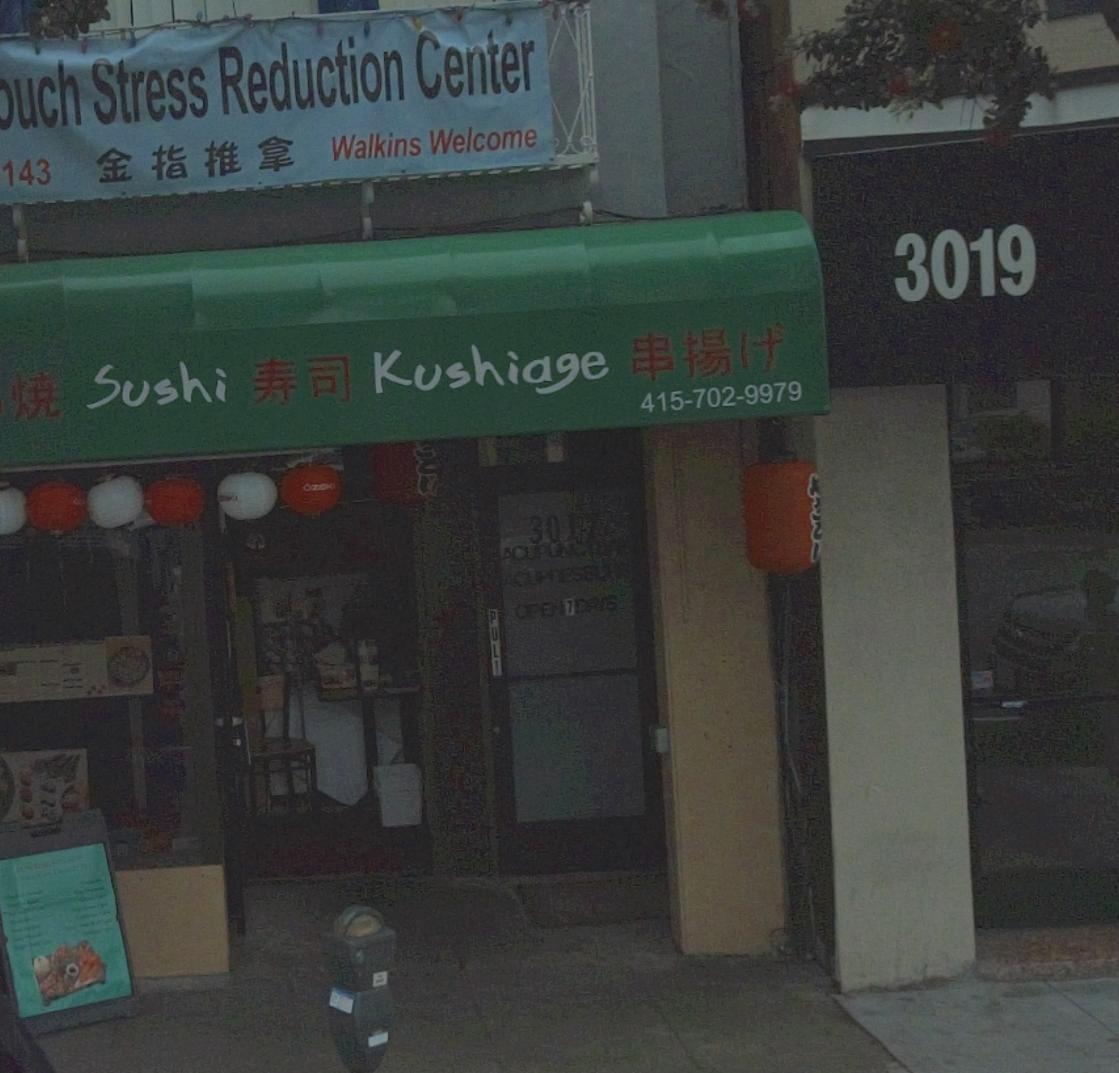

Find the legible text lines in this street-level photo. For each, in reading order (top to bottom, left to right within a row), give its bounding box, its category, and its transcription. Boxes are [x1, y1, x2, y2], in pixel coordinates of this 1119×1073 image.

[0, 27, 537, 134] BusinessName: *uch Stress Reduction Center
[329, 123, 540, 165] None: Walkins Welcome
[0, 156, 53, 190] None: 143
[892, 221, 1040, 306] StreetNumber: 3019
[84, 357, 229, 412] None: Sushi
[371, 342, 615, 398] None: Kushiage
[639, 379, 805, 415] None: 415-702-9979
[301, 482, 320, 493] None: oz
[526, 511, 602, 544] StreetNumber: 3017
[501, 543, 548, 565] None: ACUP
[501, 558, 633, 591] None: ACUPRESSU**
[515, 593, 620, 622] None: OPEN 7 DAYS
[487, 608, 502, 679] None: PULL